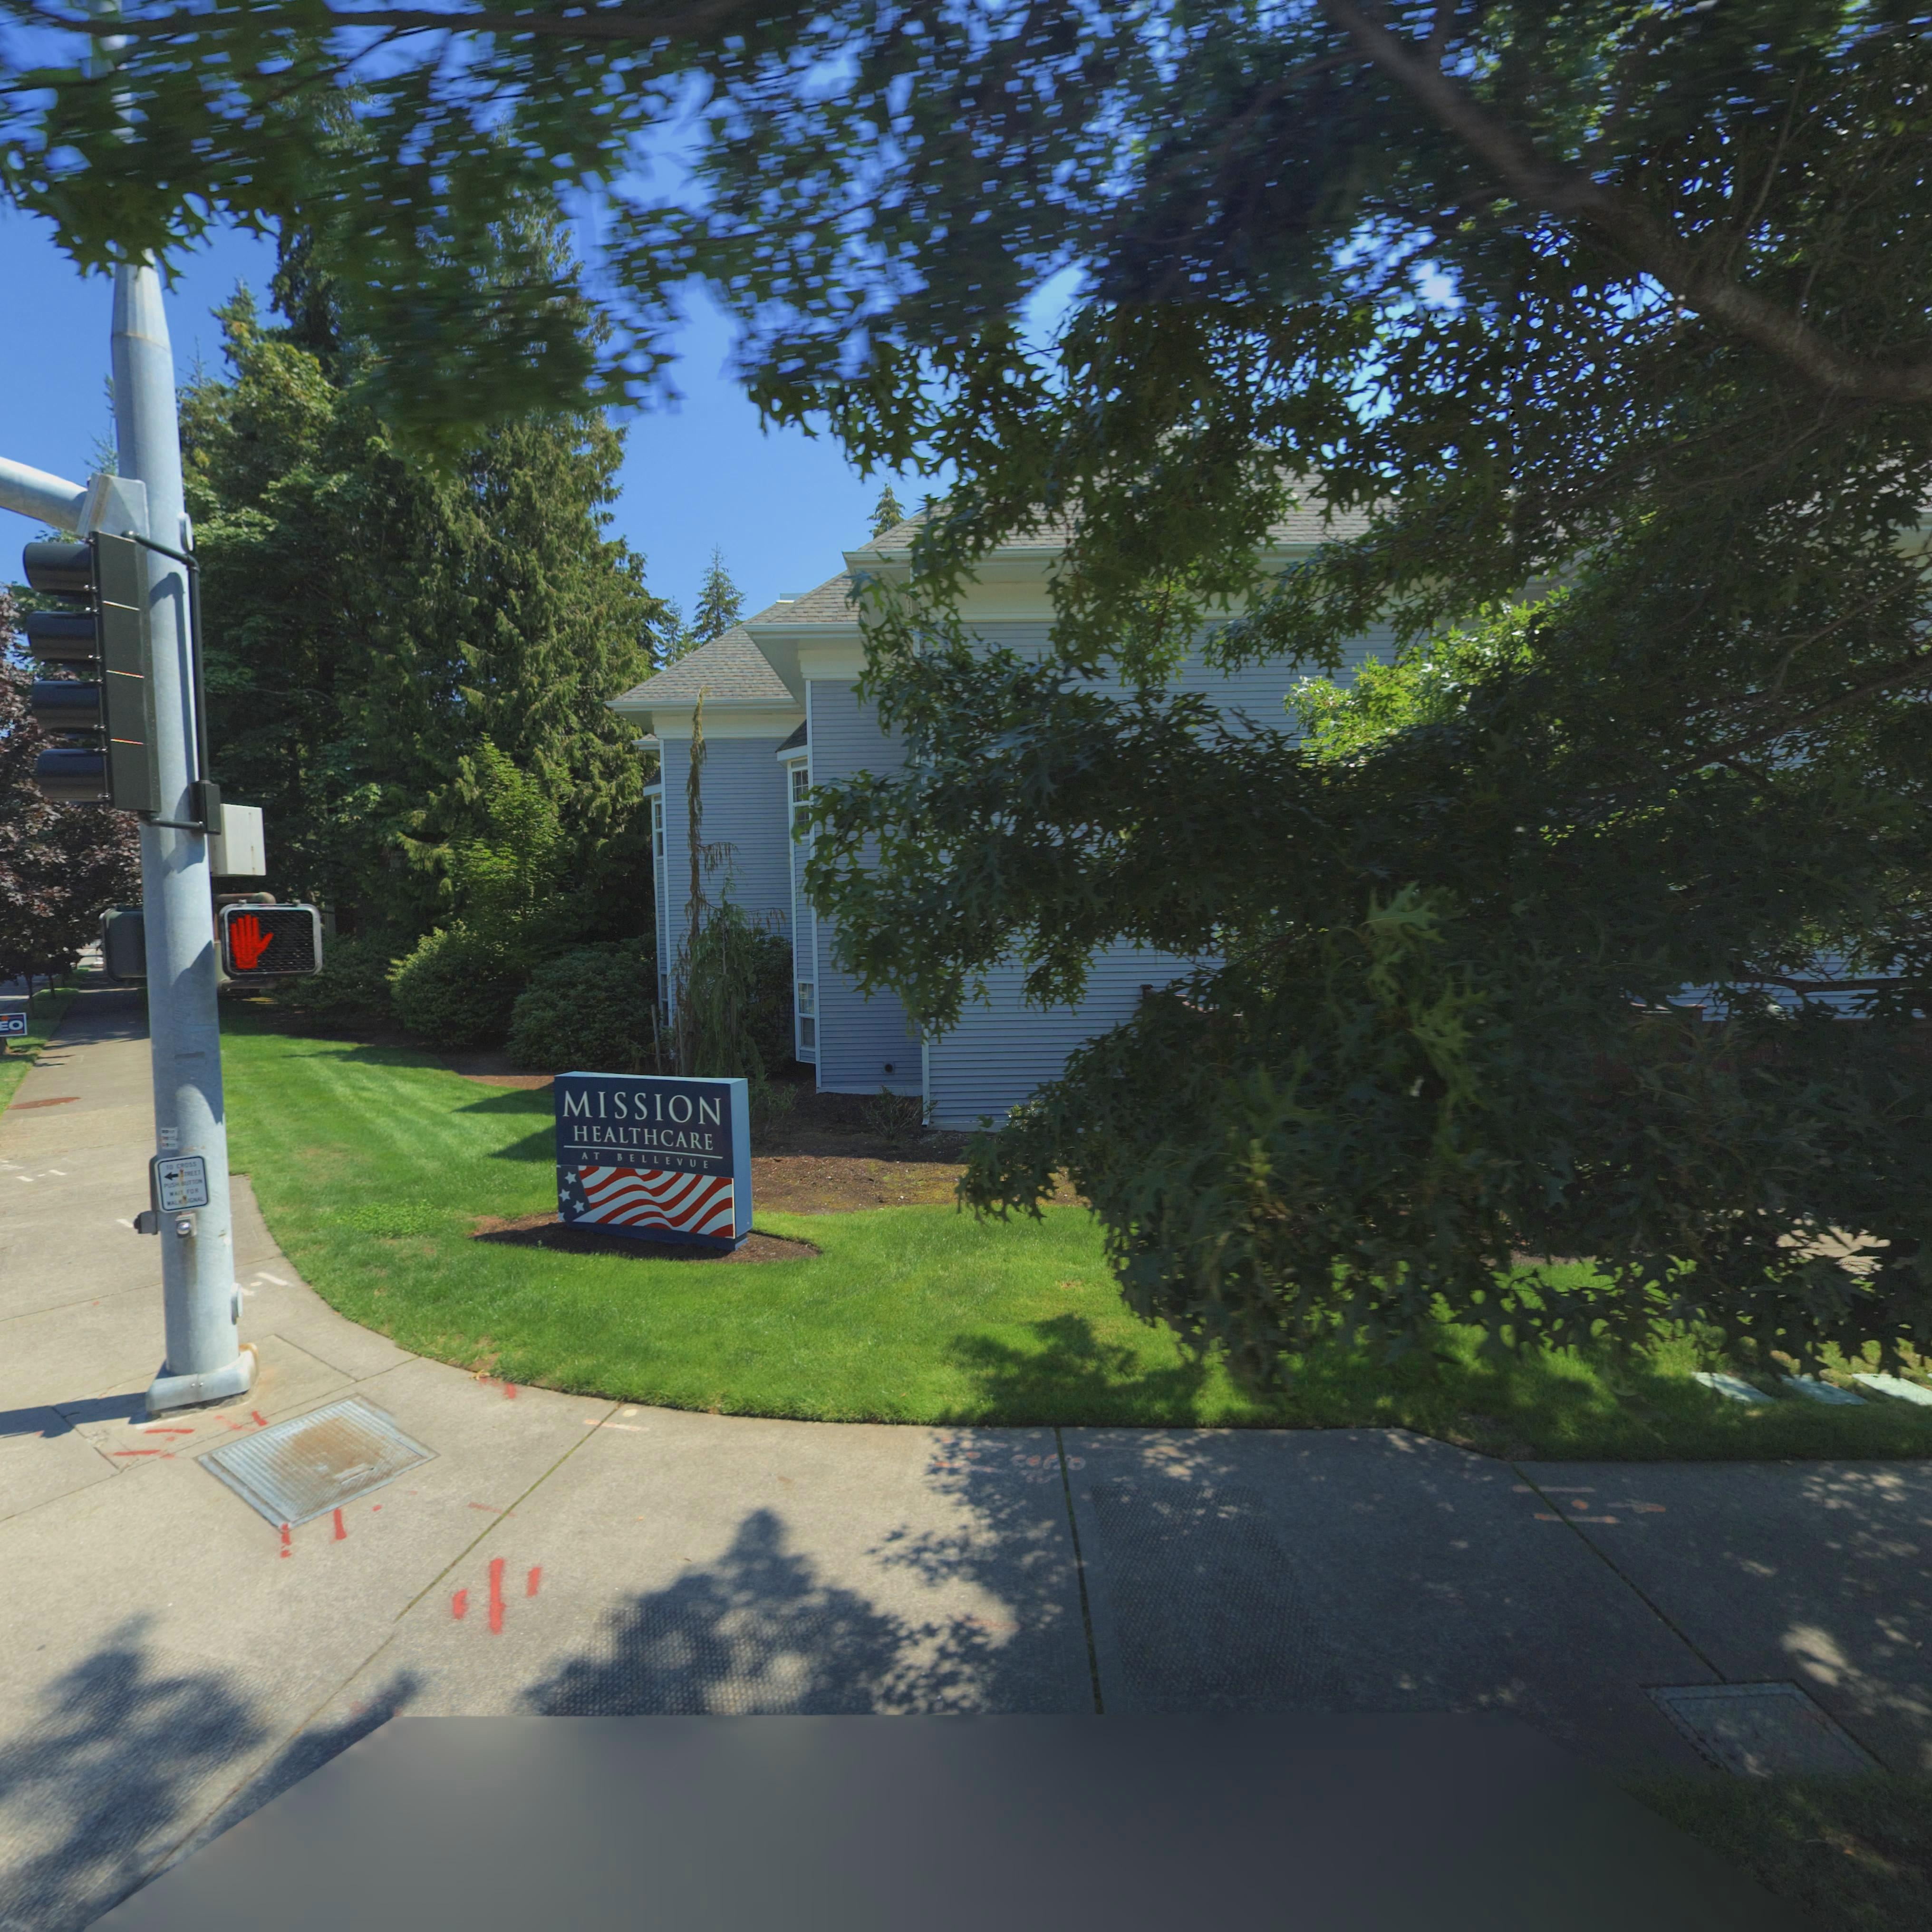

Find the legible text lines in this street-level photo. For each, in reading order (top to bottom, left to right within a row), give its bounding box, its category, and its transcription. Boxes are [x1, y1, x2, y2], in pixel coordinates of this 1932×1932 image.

[561, 1090, 722, 1124] BusinessName: MISSION
[572, 1124, 713, 1150] BusinessName: HEALTHCARE